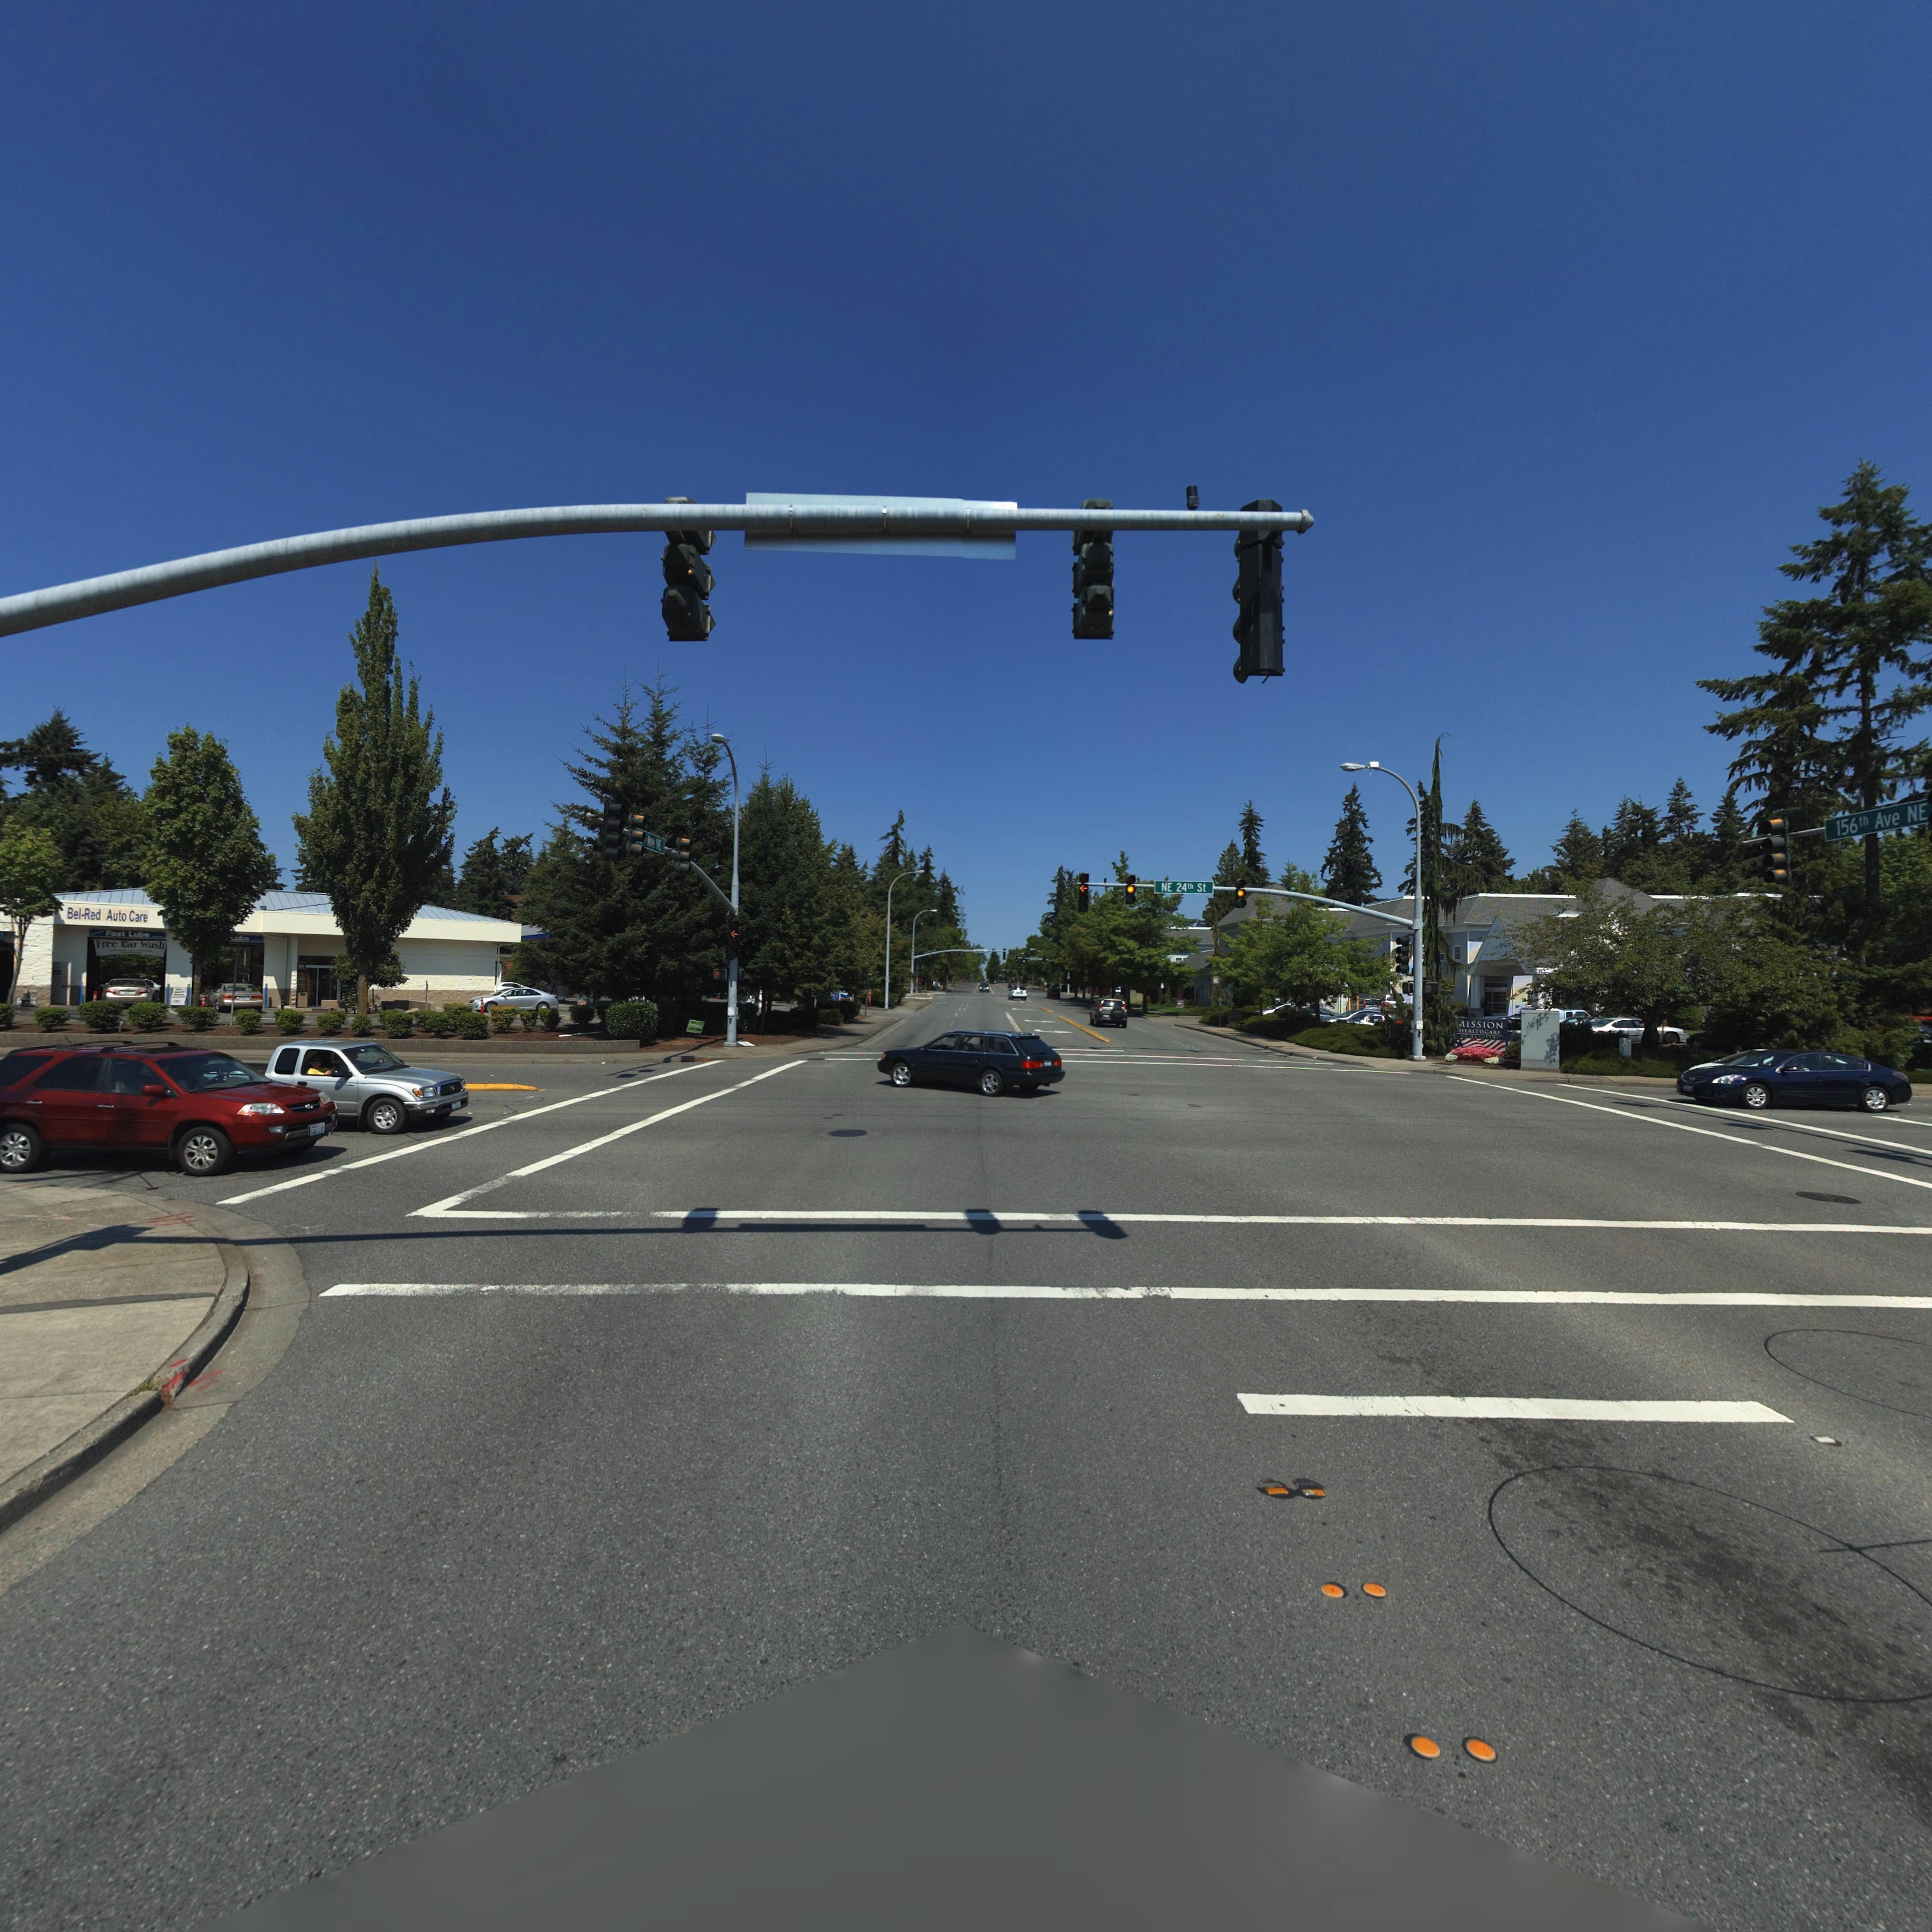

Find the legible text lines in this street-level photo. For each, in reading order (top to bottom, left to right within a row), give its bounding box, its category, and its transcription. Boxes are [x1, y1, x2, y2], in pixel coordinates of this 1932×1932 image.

[1835, 802, 1928, 837] StreetName: 156th Ave NE
[647, 835, 661, 851] StreetName: A*e NE
[1161, 883, 1206, 892] StreetName: NE 24th St
[66, 906, 148, 923] BusinessName: Bel-Red Auto Care
[1459, 1028, 1500, 1035] BusinessName: HEALTHCAR*
[1467, 1020, 1503, 1029] BusinessName: ISSION